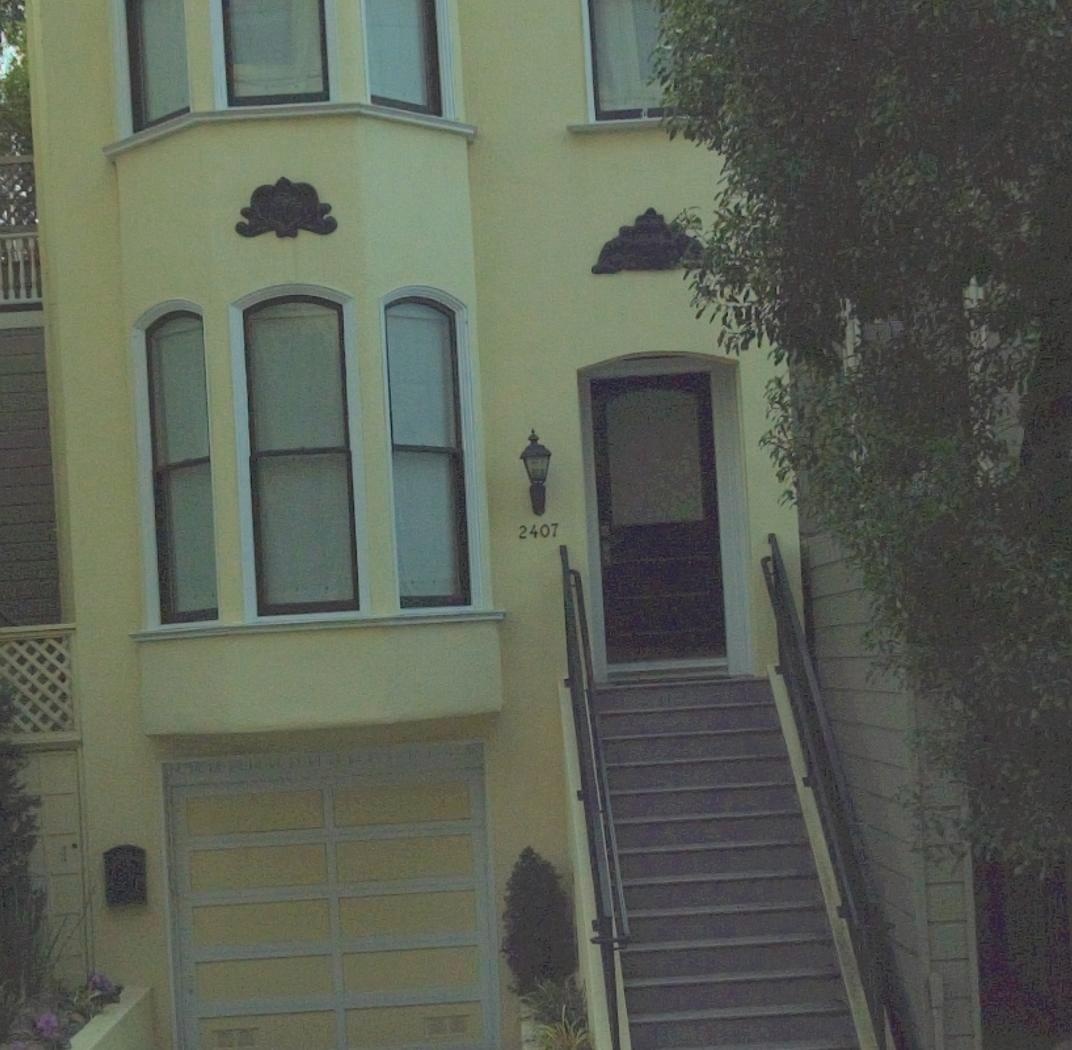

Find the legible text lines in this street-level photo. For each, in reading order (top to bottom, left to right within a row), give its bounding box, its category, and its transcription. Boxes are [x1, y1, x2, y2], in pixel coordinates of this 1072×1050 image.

[517, 521, 560, 541] StreetNumber: 2407